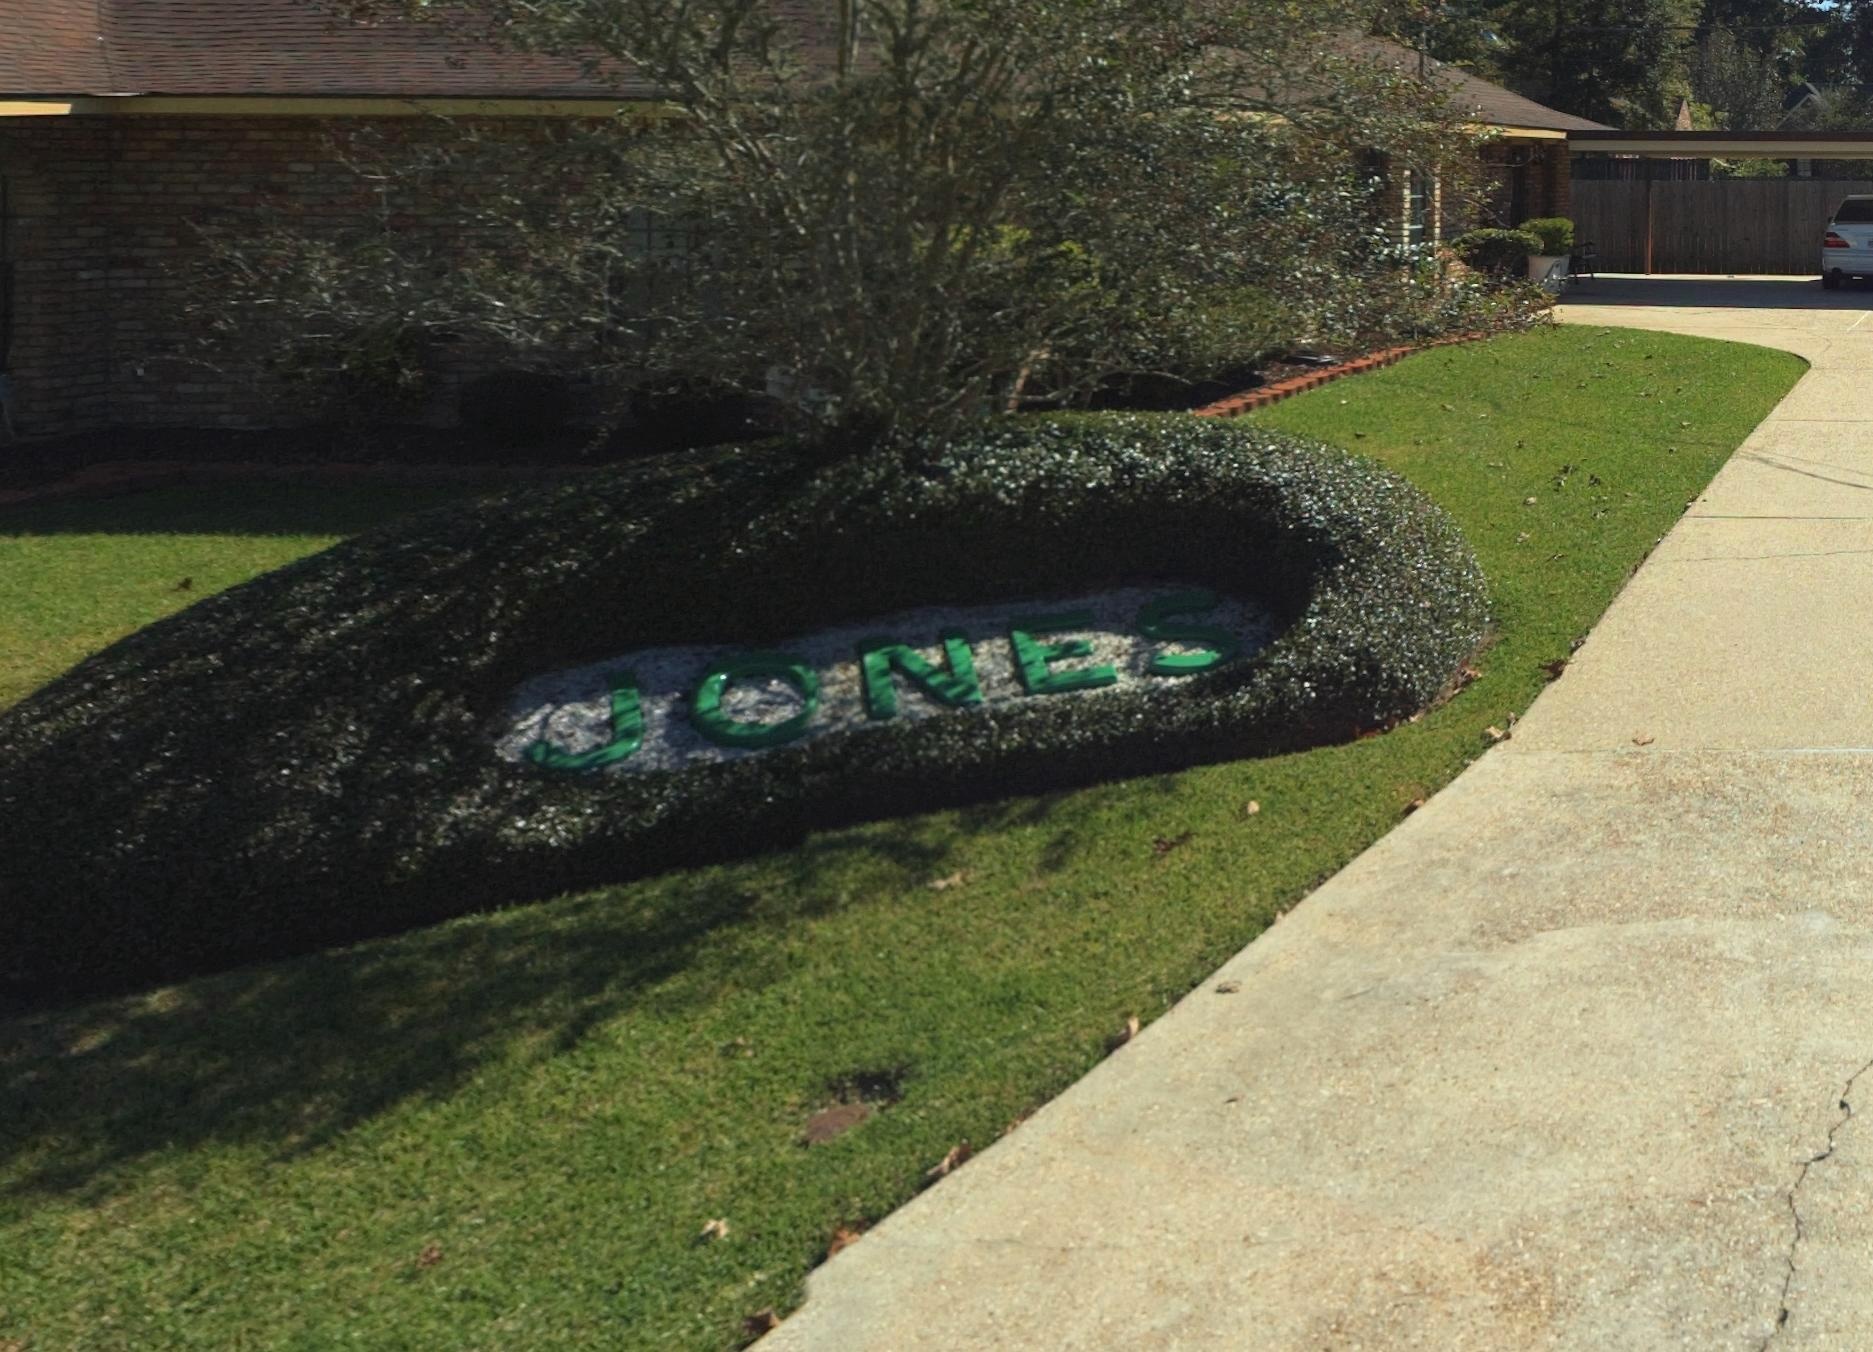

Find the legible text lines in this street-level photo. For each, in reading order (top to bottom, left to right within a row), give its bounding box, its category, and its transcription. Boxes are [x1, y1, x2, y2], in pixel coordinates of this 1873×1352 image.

[515, 583, 1254, 778] BusinessName: JONES